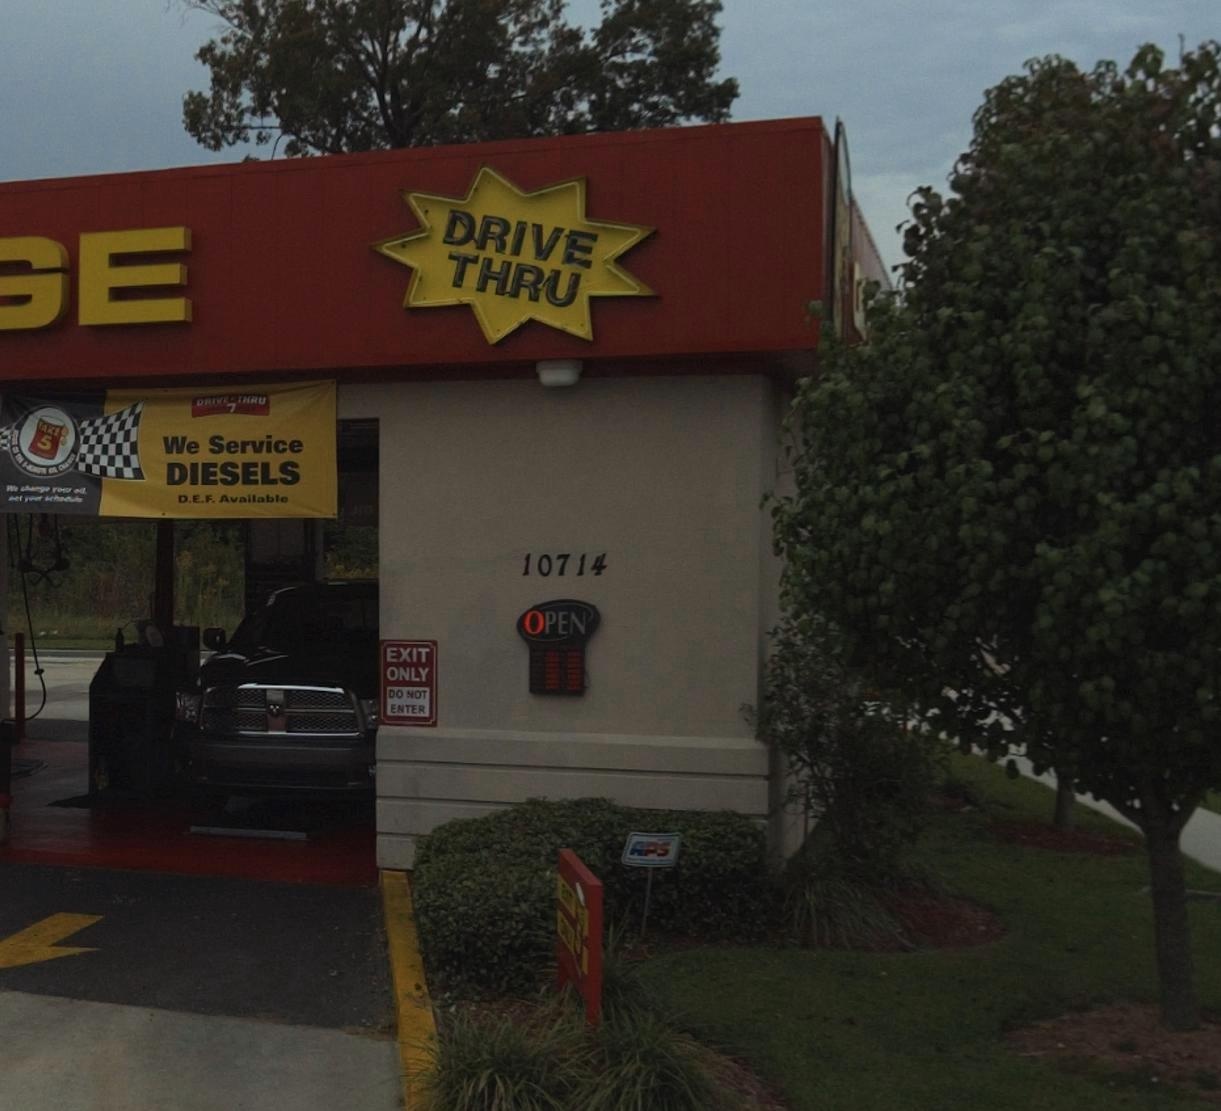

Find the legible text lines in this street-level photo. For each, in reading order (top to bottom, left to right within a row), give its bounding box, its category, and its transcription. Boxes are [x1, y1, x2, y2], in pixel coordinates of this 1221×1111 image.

[440, 208, 602, 272] None: DRIVE
[76, 224, 195, 327] BusinessName: E
[447, 249, 584, 311] None: THRU
[195, 395, 267, 408] None: DRIVE * THRU
[225, 402, 237, 415] None: 7
[37, 421, 61, 438] None: TAKE
[35, 433, 55, 455] None: 5
[162, 432, 304, 456] None: We Service
[165, 460, 301, 486] None: DIESELS
[176, 493, 290, 503] None: D.E.F. Available
[521, 552, 610, 578] StreetNumber: 10714
[521, 609, 587, 635] None: OPEN
[385, 647, 432, 663] None: EXIT
[385, 665, 431, 682] None: ONLY
[388, 689, 428, 700] None: DO NOT
[390, 703, 425, 714] None: ENTER
[628, 840, 673, 857] None: APS